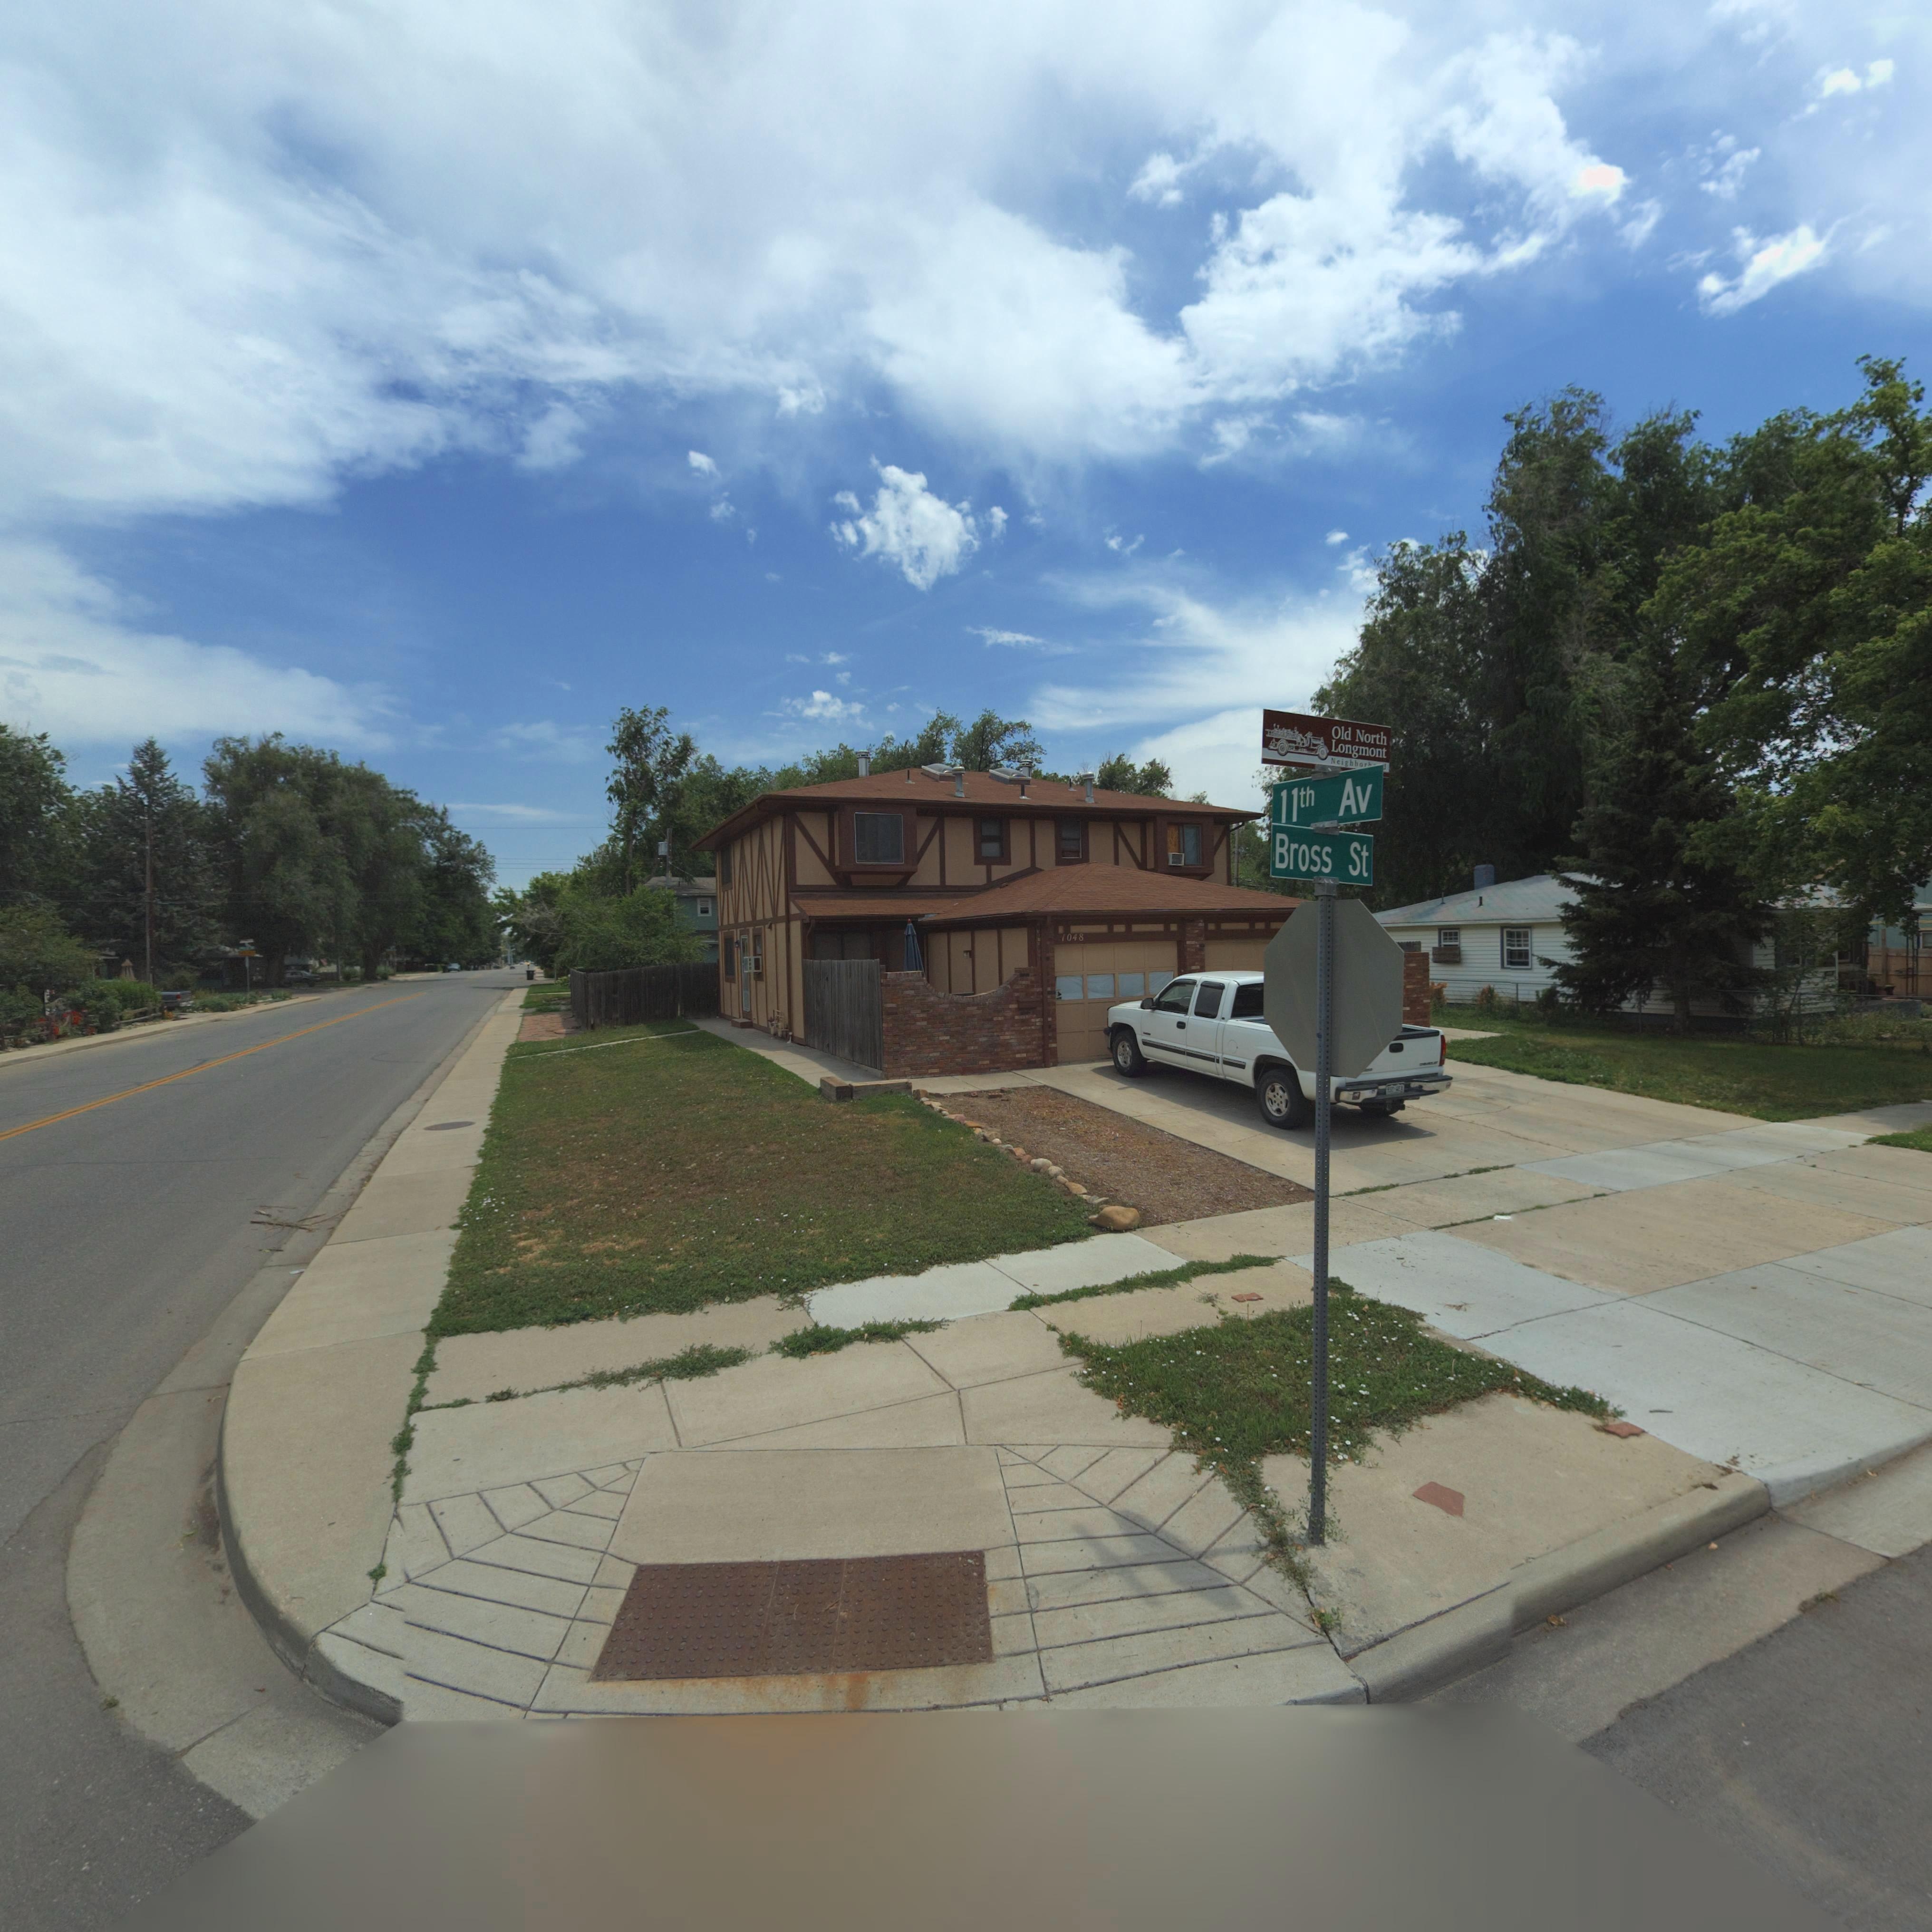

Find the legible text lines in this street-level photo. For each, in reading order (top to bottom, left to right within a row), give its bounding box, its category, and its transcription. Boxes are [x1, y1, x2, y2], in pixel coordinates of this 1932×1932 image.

[1280, 777, 1373, 824] StreetName: 11th Av
[1275, 833, 1369, 877] StreetName: Bross St
[1061, 933, 1083, 941] StreetNumber: 1048